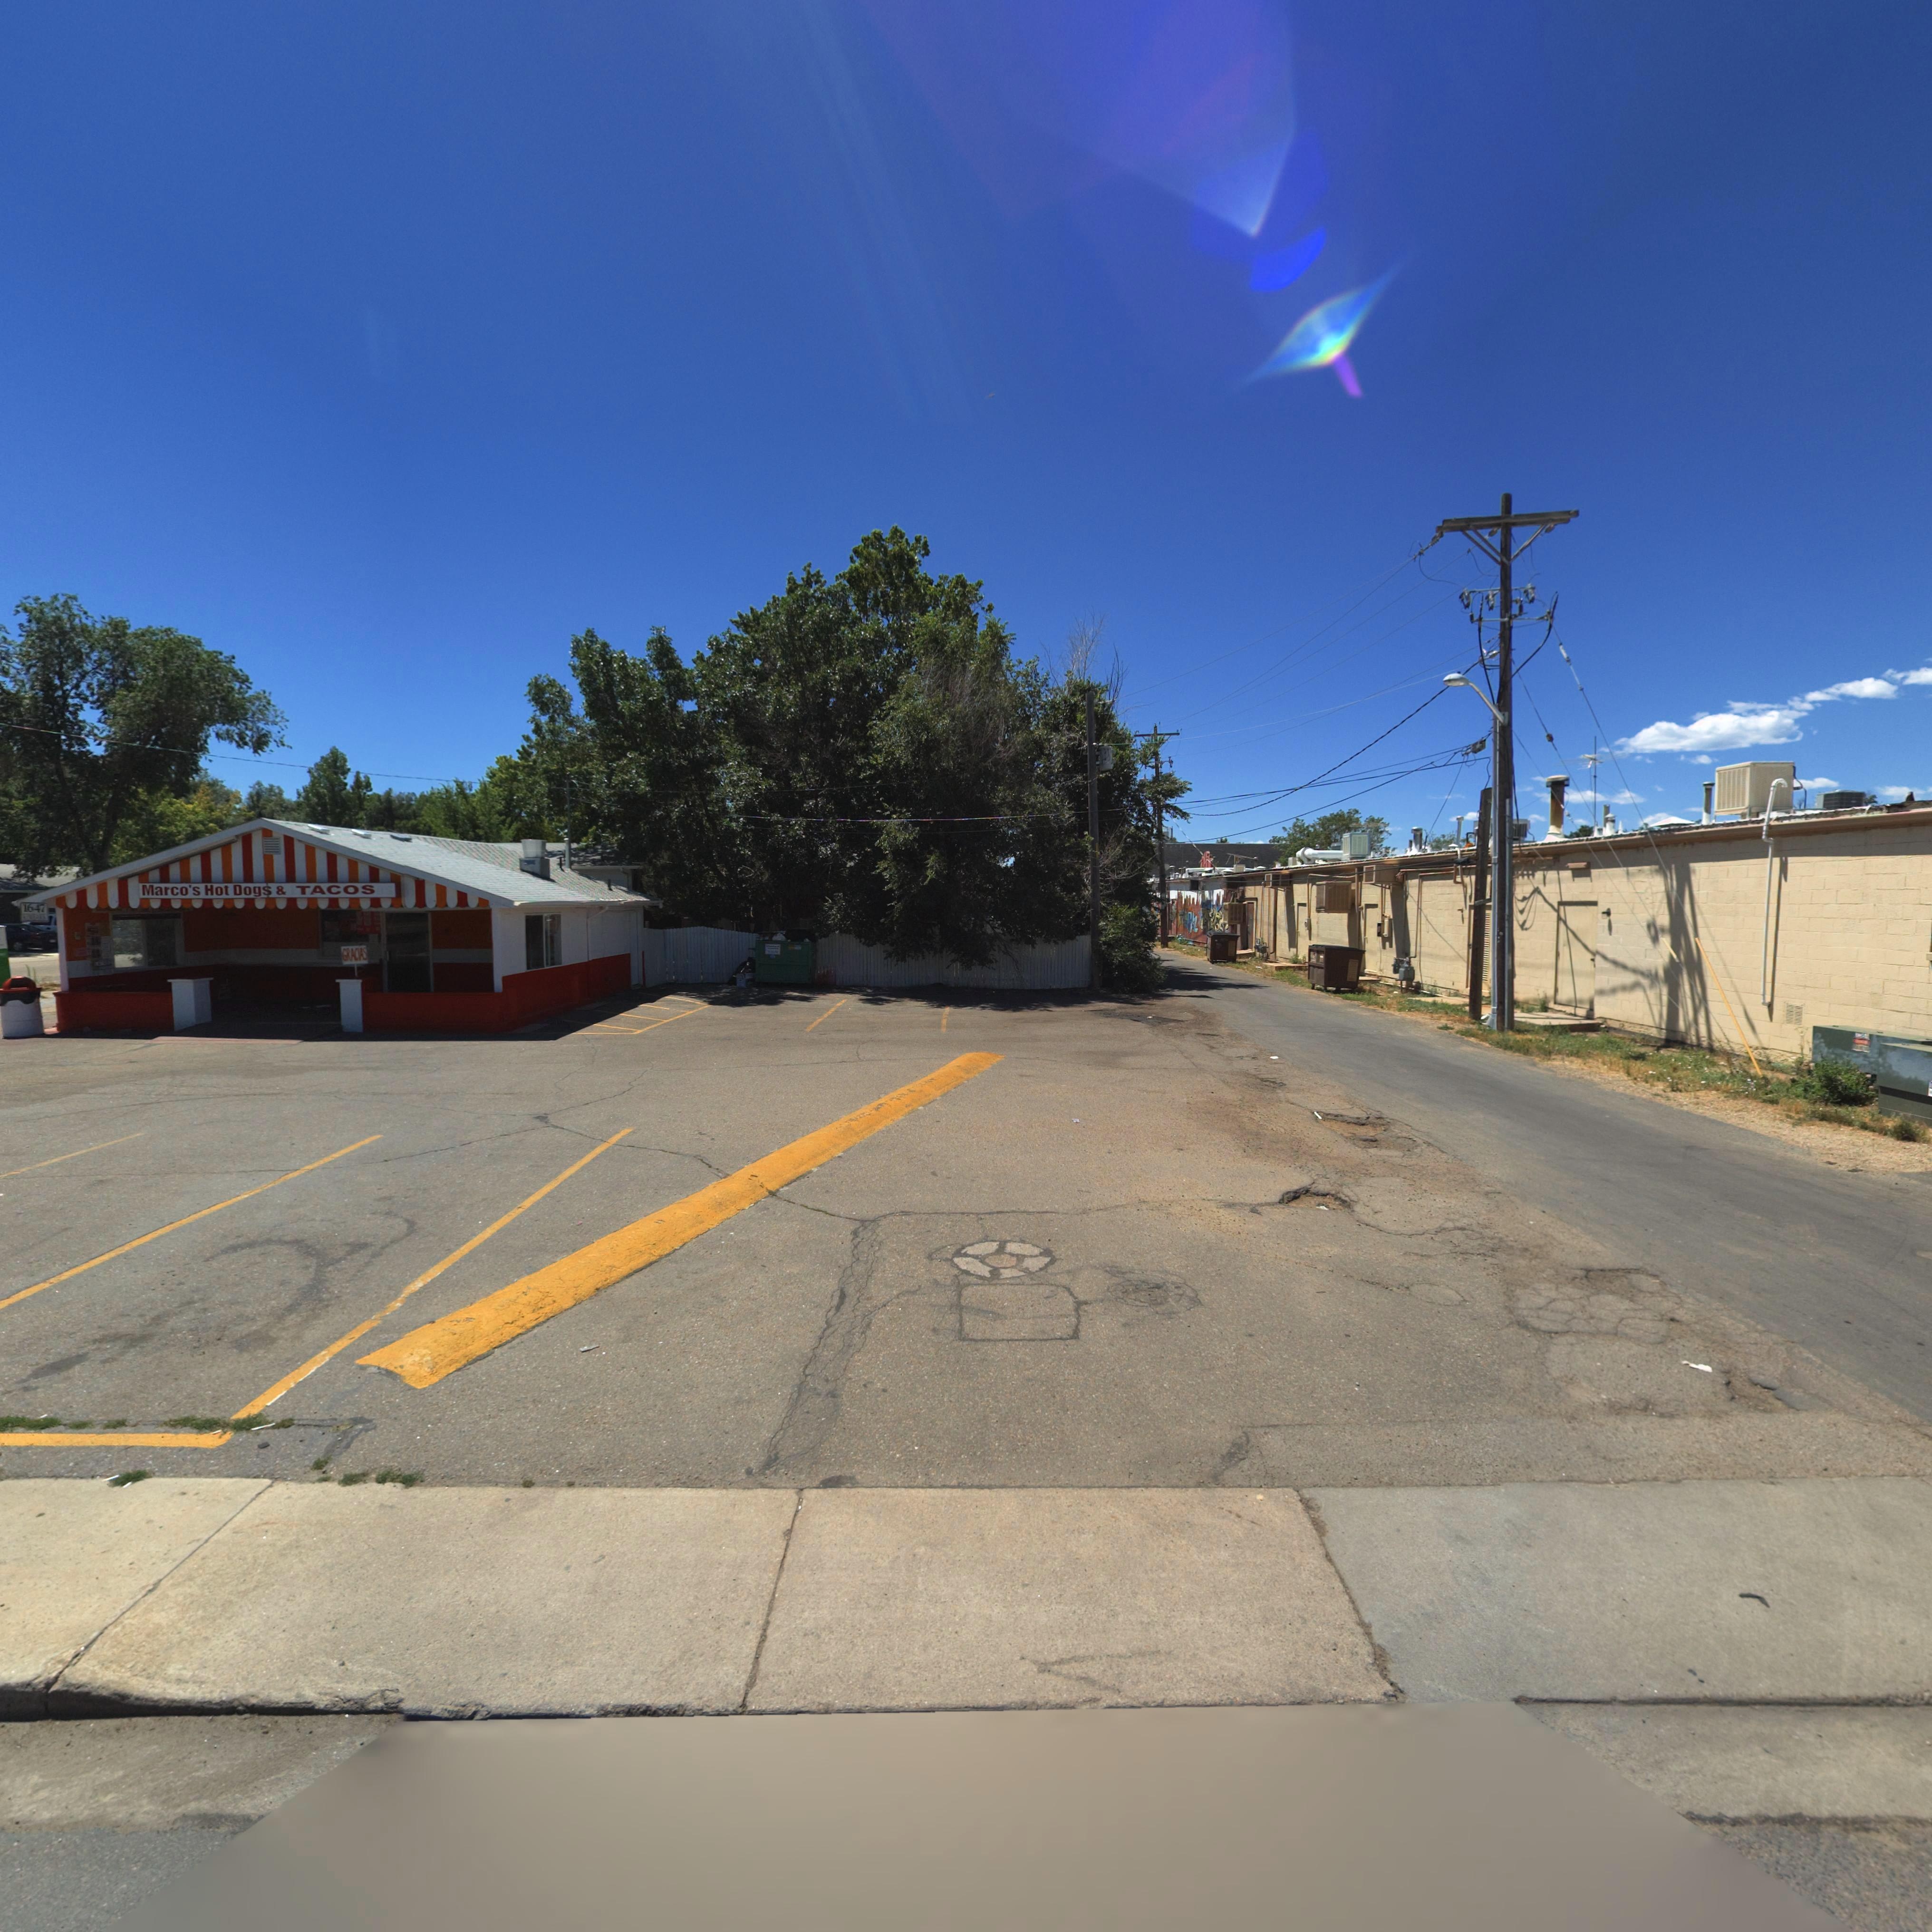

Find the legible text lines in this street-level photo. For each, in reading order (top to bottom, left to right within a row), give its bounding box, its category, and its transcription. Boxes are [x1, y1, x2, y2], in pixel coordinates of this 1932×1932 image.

[142, 883, 377, 898] BusinessName: Marco's Hot Dogs & TACOS
[23, 903, 46, 913] StreetNumber: 1647